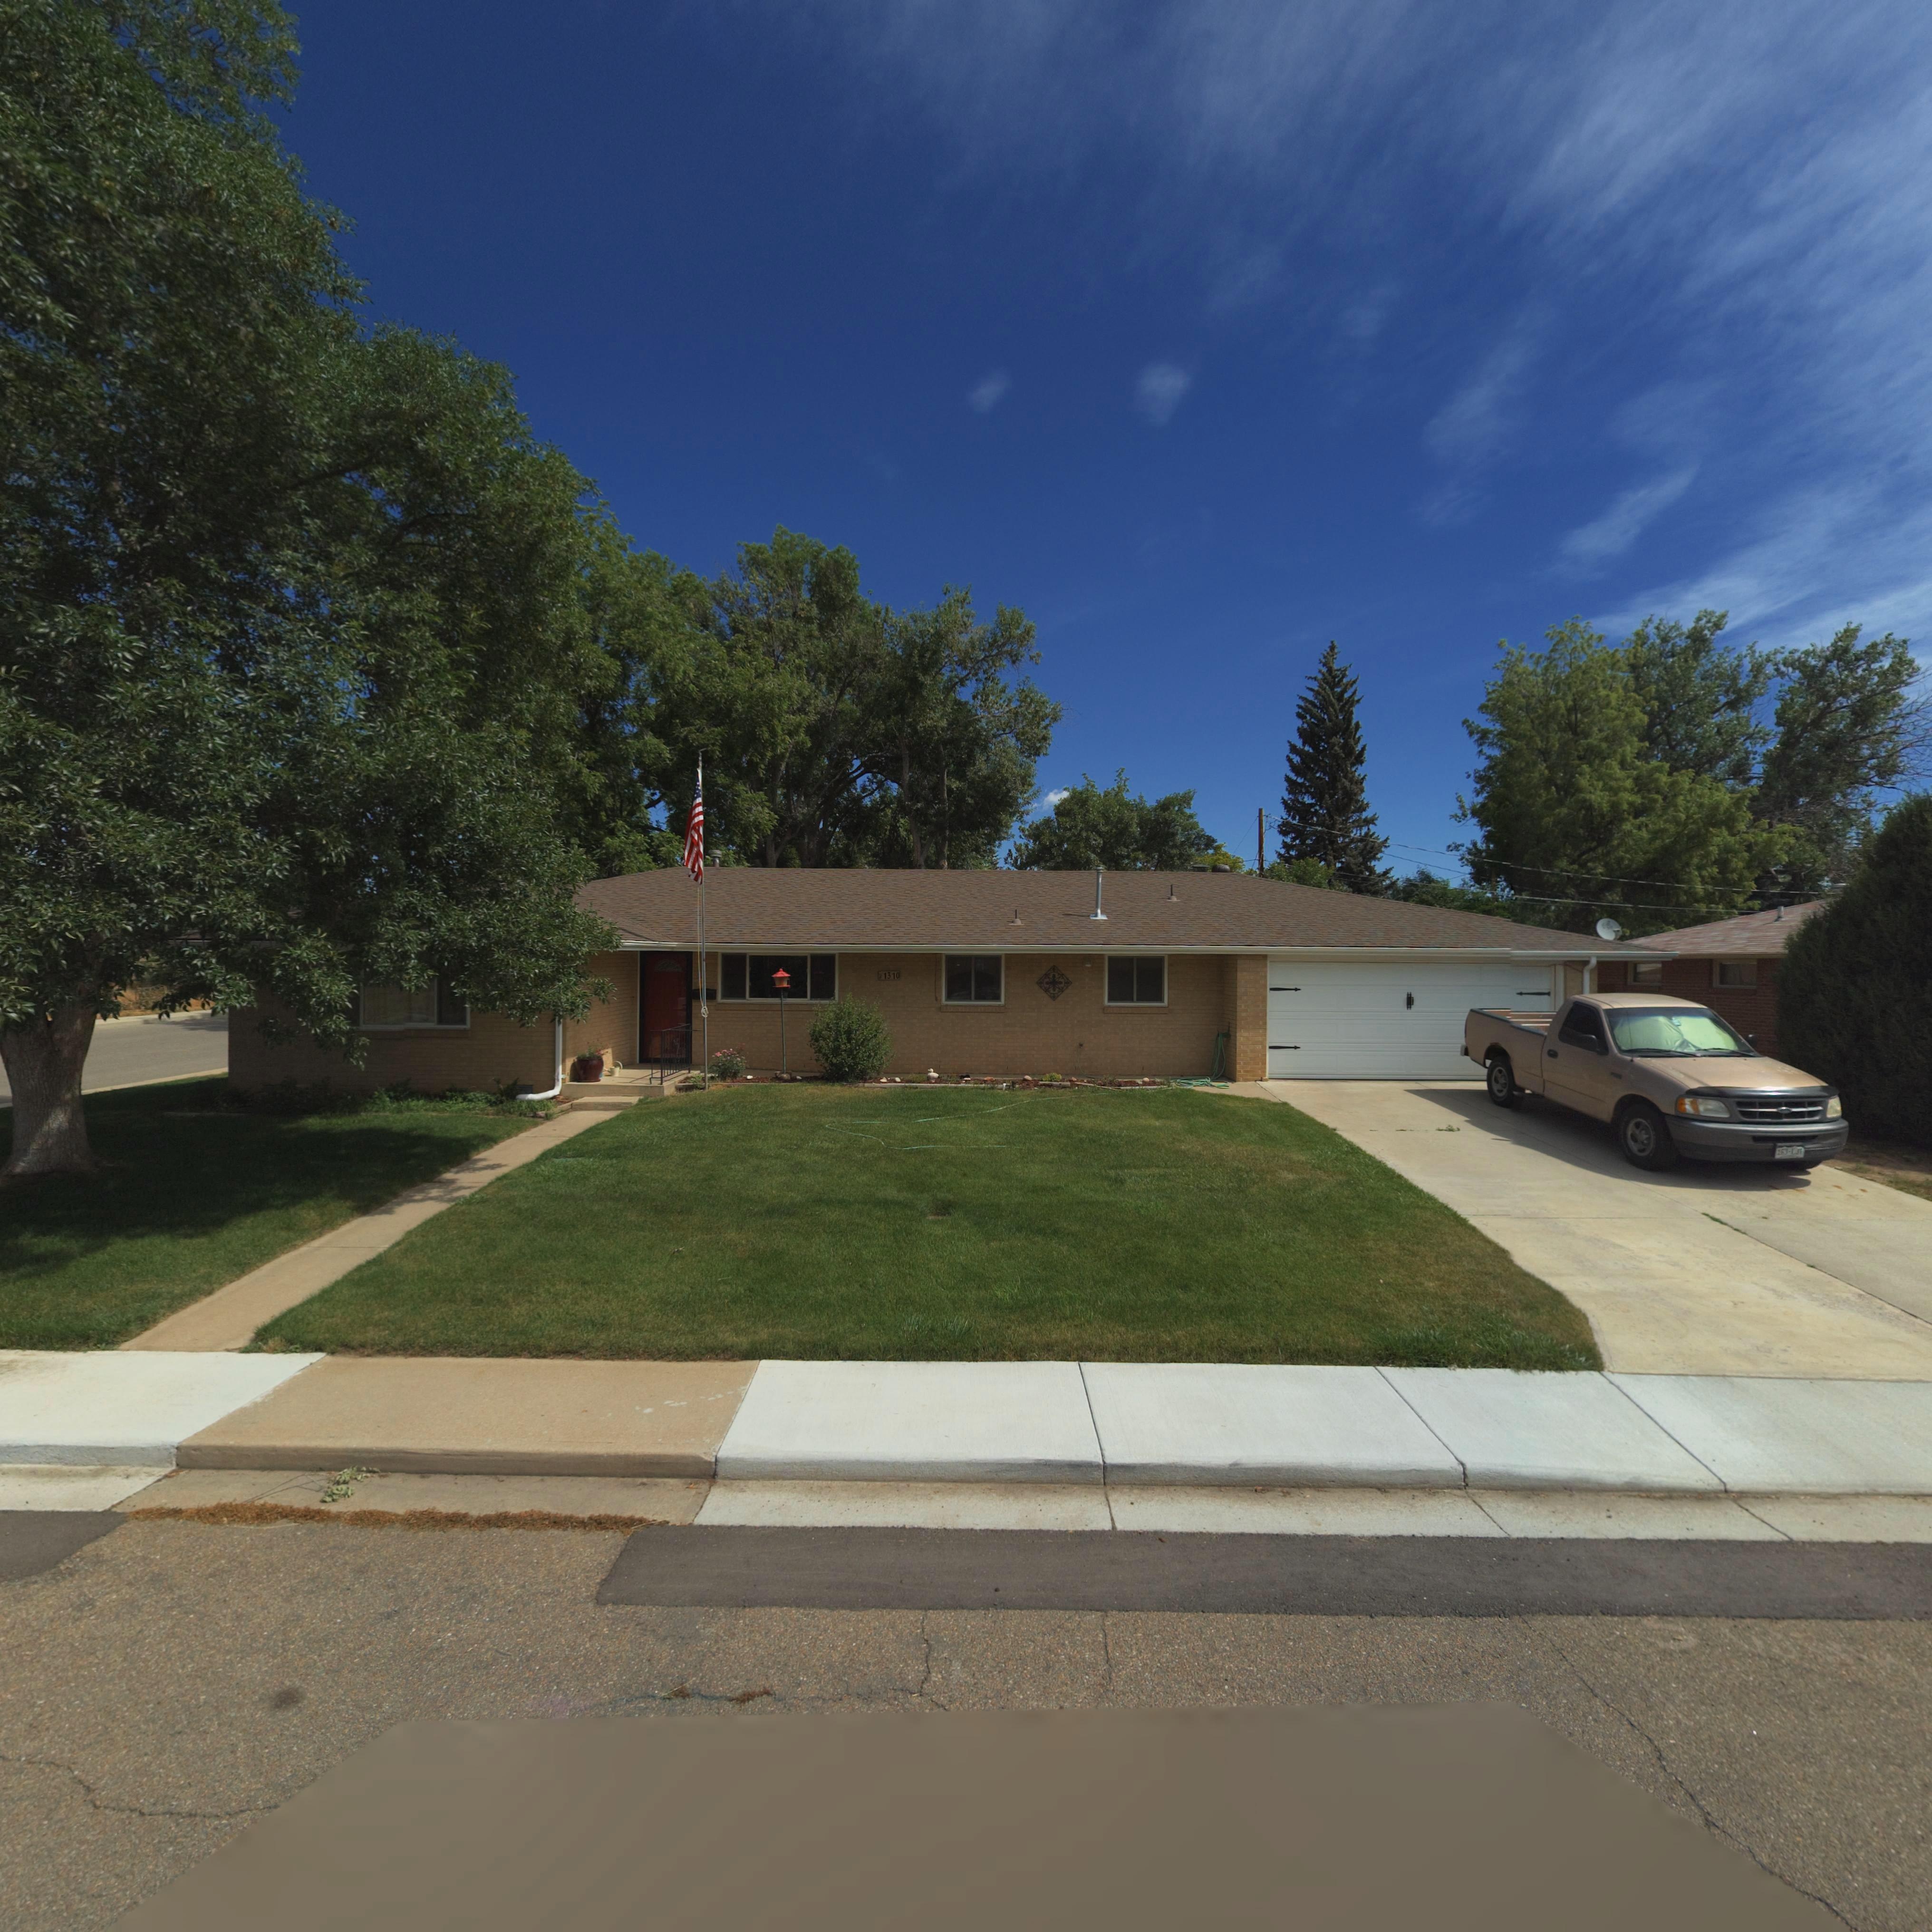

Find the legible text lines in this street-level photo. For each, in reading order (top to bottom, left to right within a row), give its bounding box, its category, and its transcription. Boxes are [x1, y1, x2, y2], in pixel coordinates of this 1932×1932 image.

[883, 971, 900, 980] StreetNumber: 1310